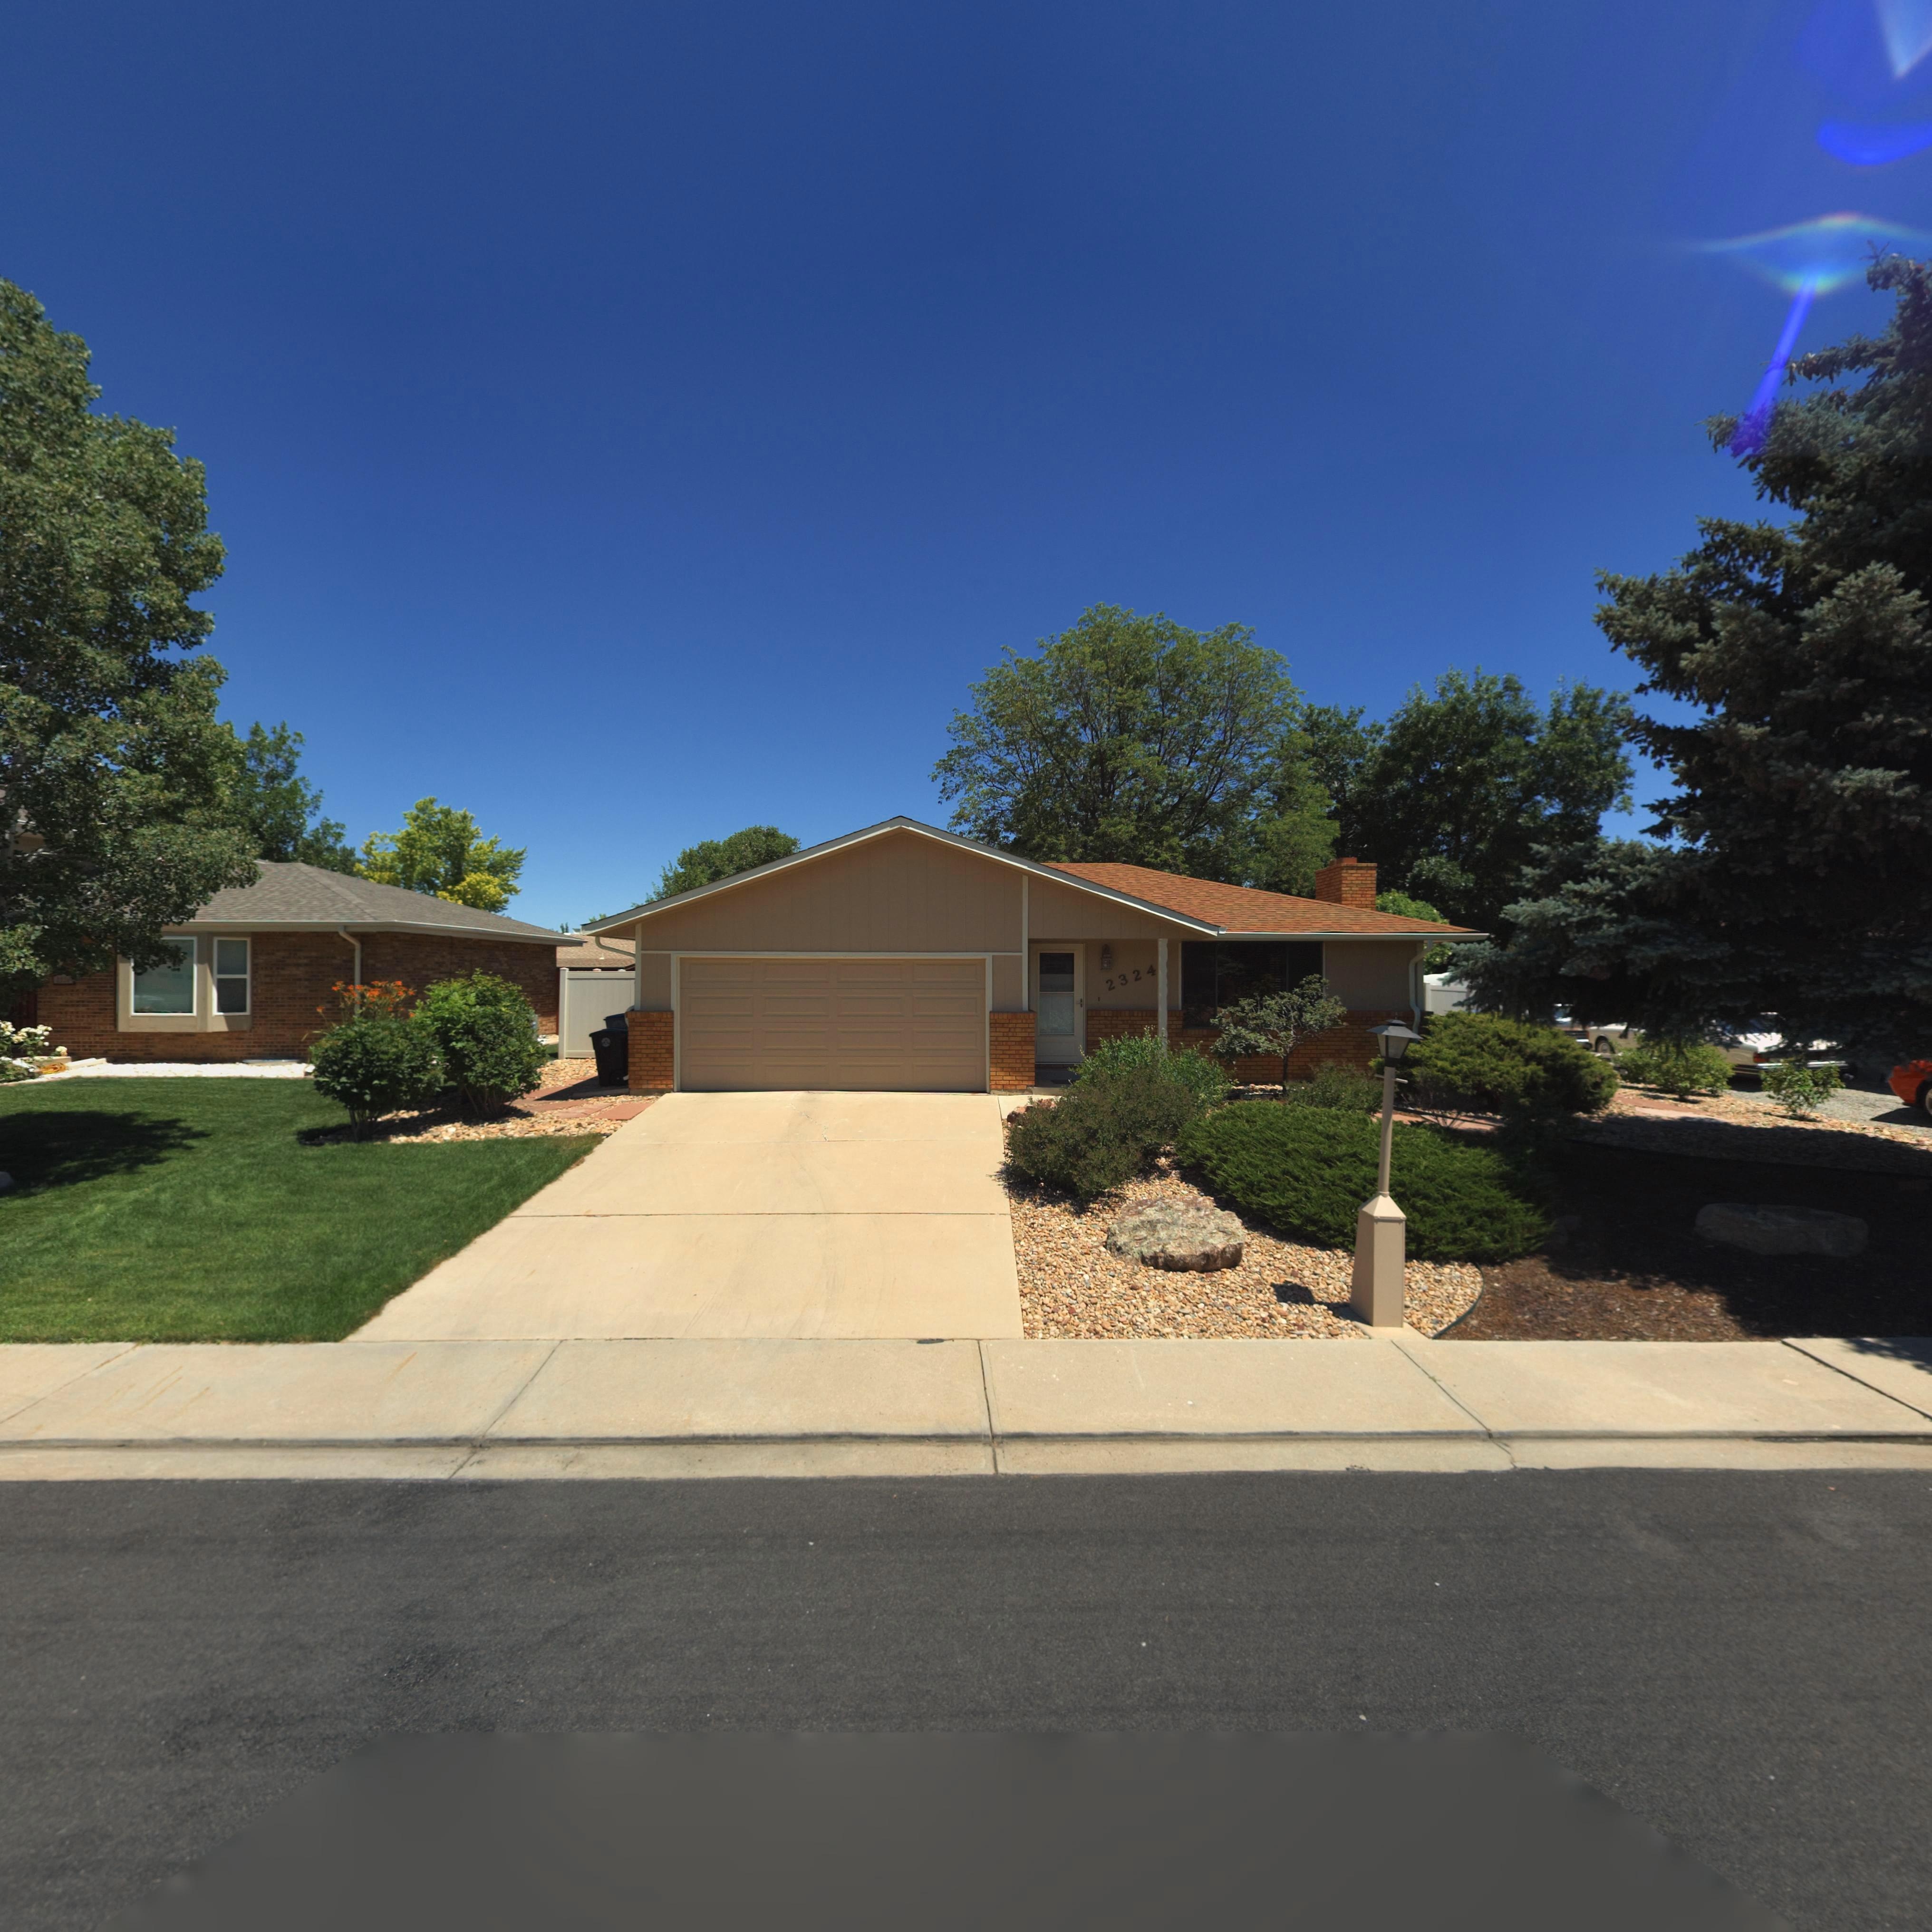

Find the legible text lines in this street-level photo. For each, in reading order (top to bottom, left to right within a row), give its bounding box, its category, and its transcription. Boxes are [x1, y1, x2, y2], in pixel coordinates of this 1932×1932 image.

[56, 976, 71, 983] StreetNumber: 2330
[1105, 964, 1156, 991] StreetNumber: 2324